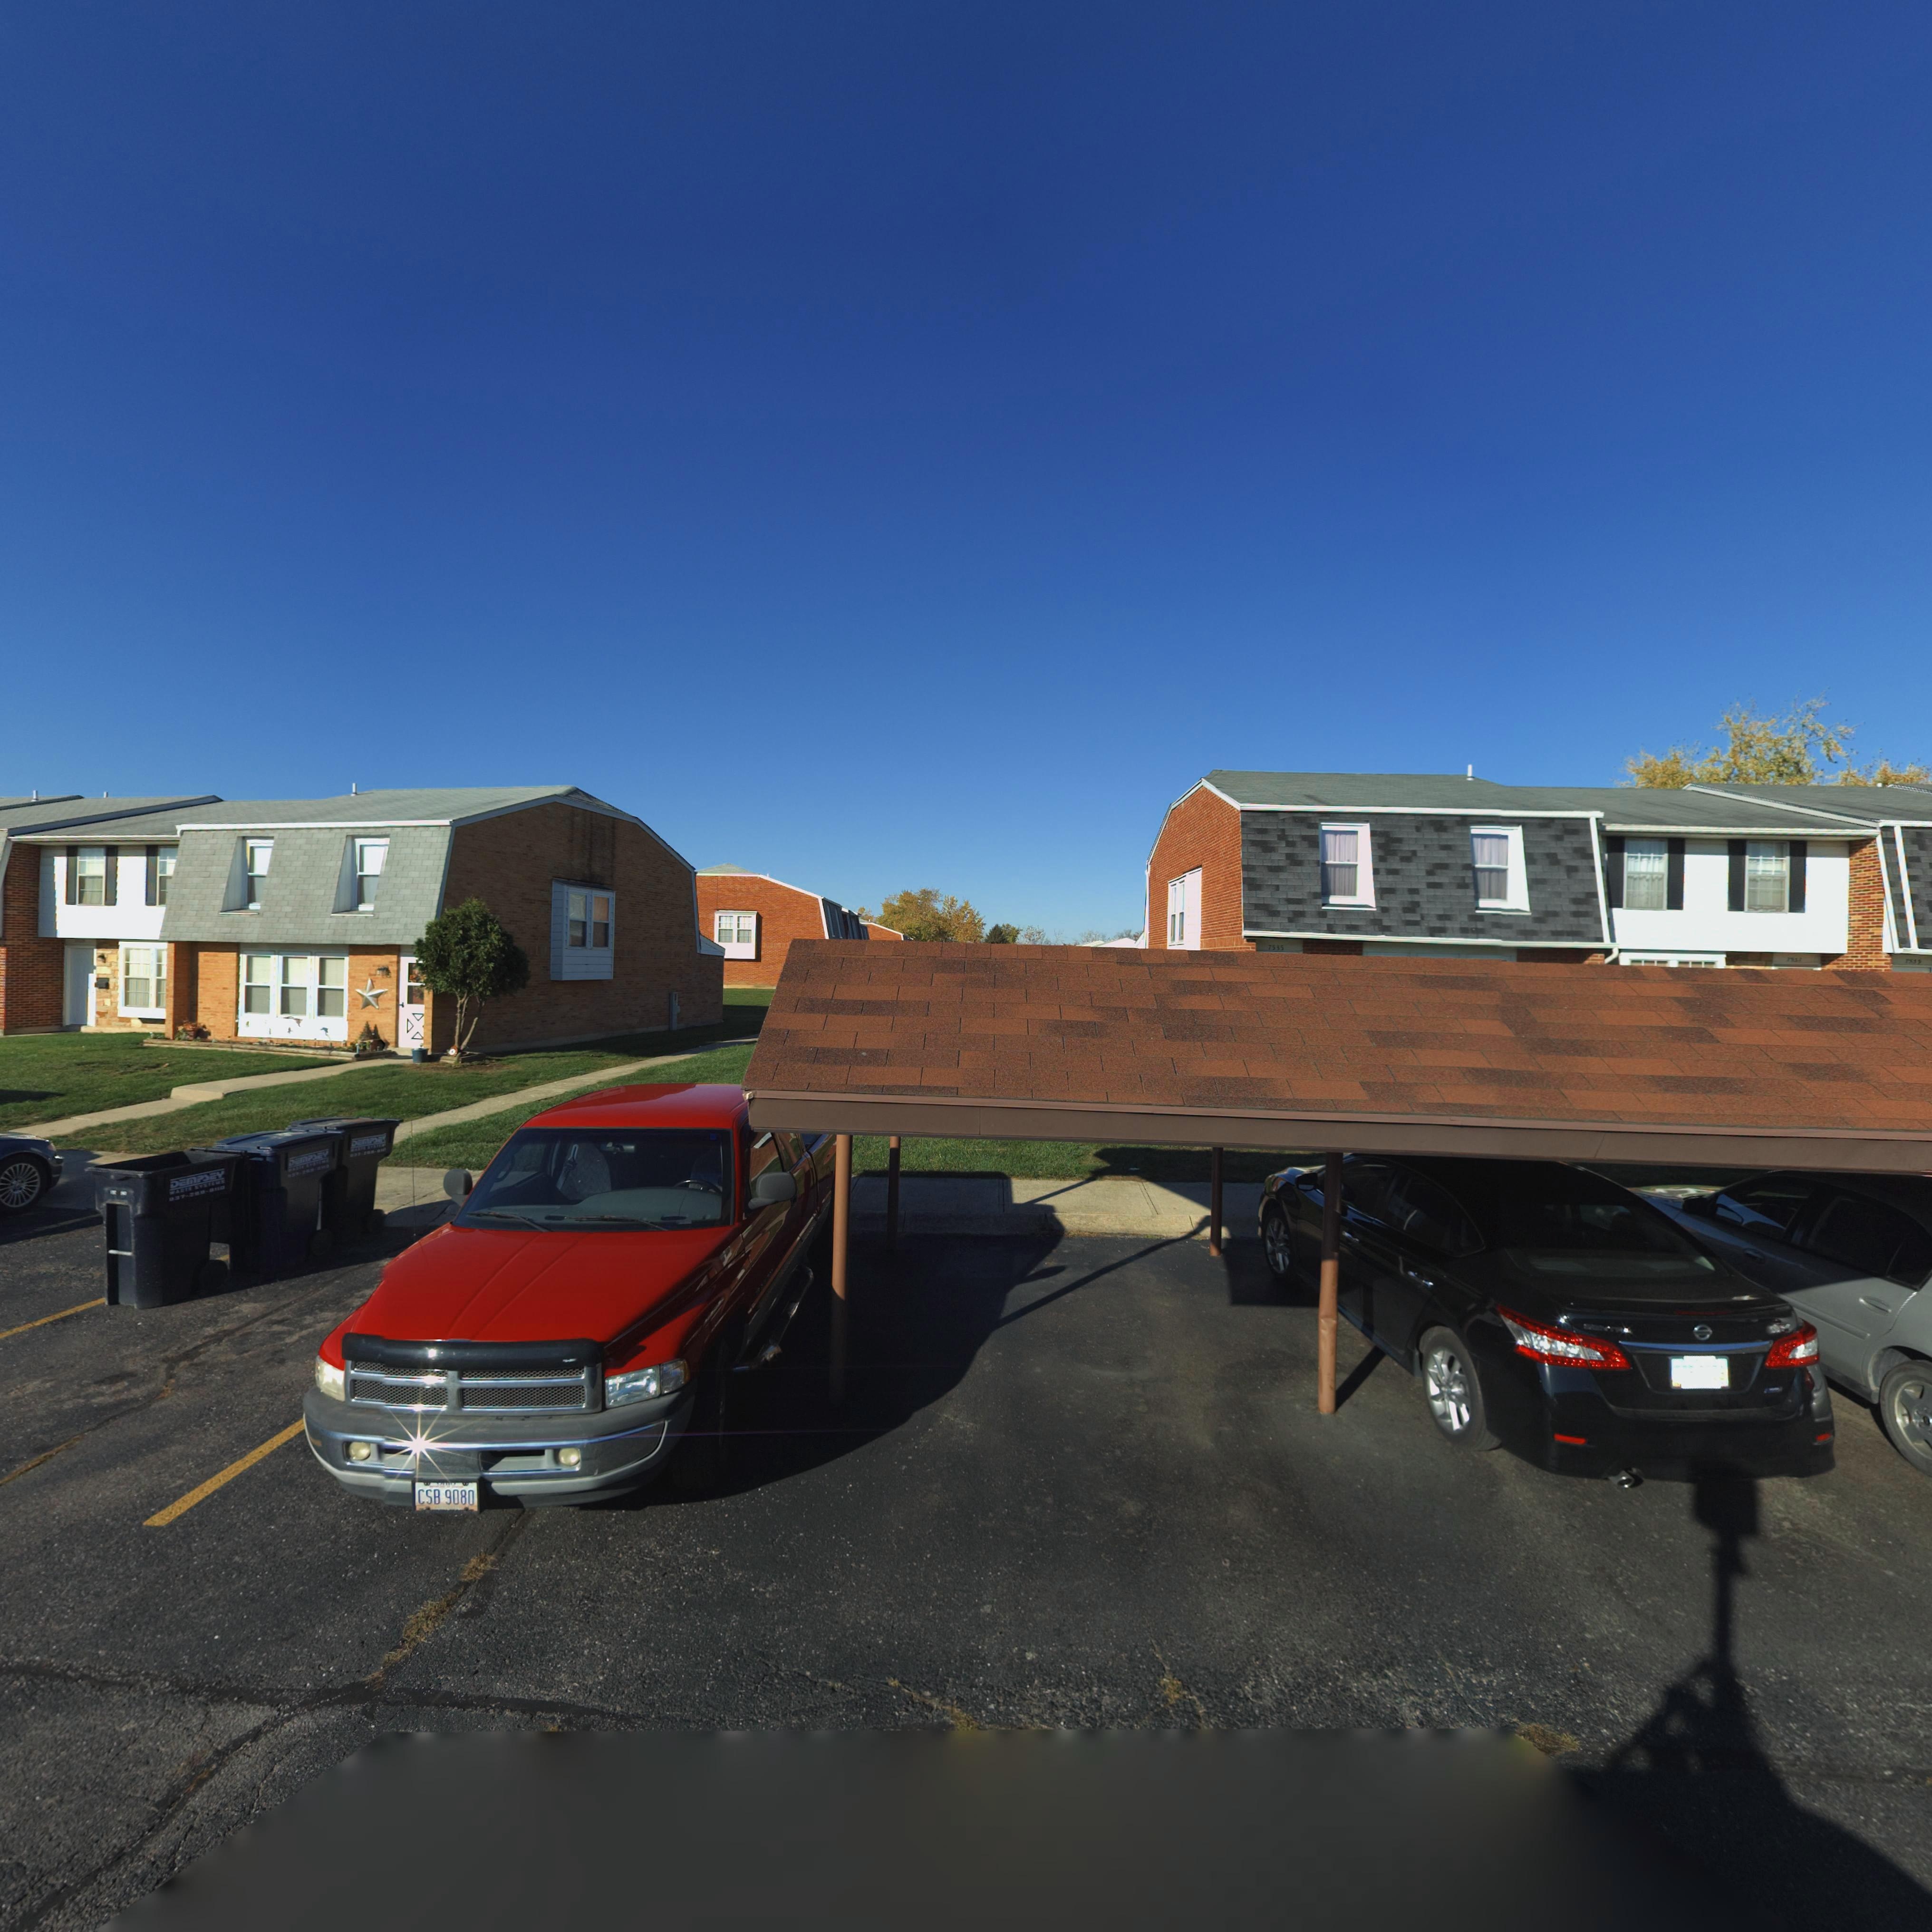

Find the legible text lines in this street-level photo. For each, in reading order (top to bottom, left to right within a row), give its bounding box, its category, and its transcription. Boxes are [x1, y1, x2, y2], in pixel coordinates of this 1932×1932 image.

[74, 938, 86, 943] StreetNumber: **29
[410, 944, 415, 949] StreetNumber: 7
[1268, 945, 1284, 951] StreetNumber: 7535
[1786, 957, 1802, 962] StreetNumber: **37
[1904, 958, 1922, 964] StreetNumber: 7539